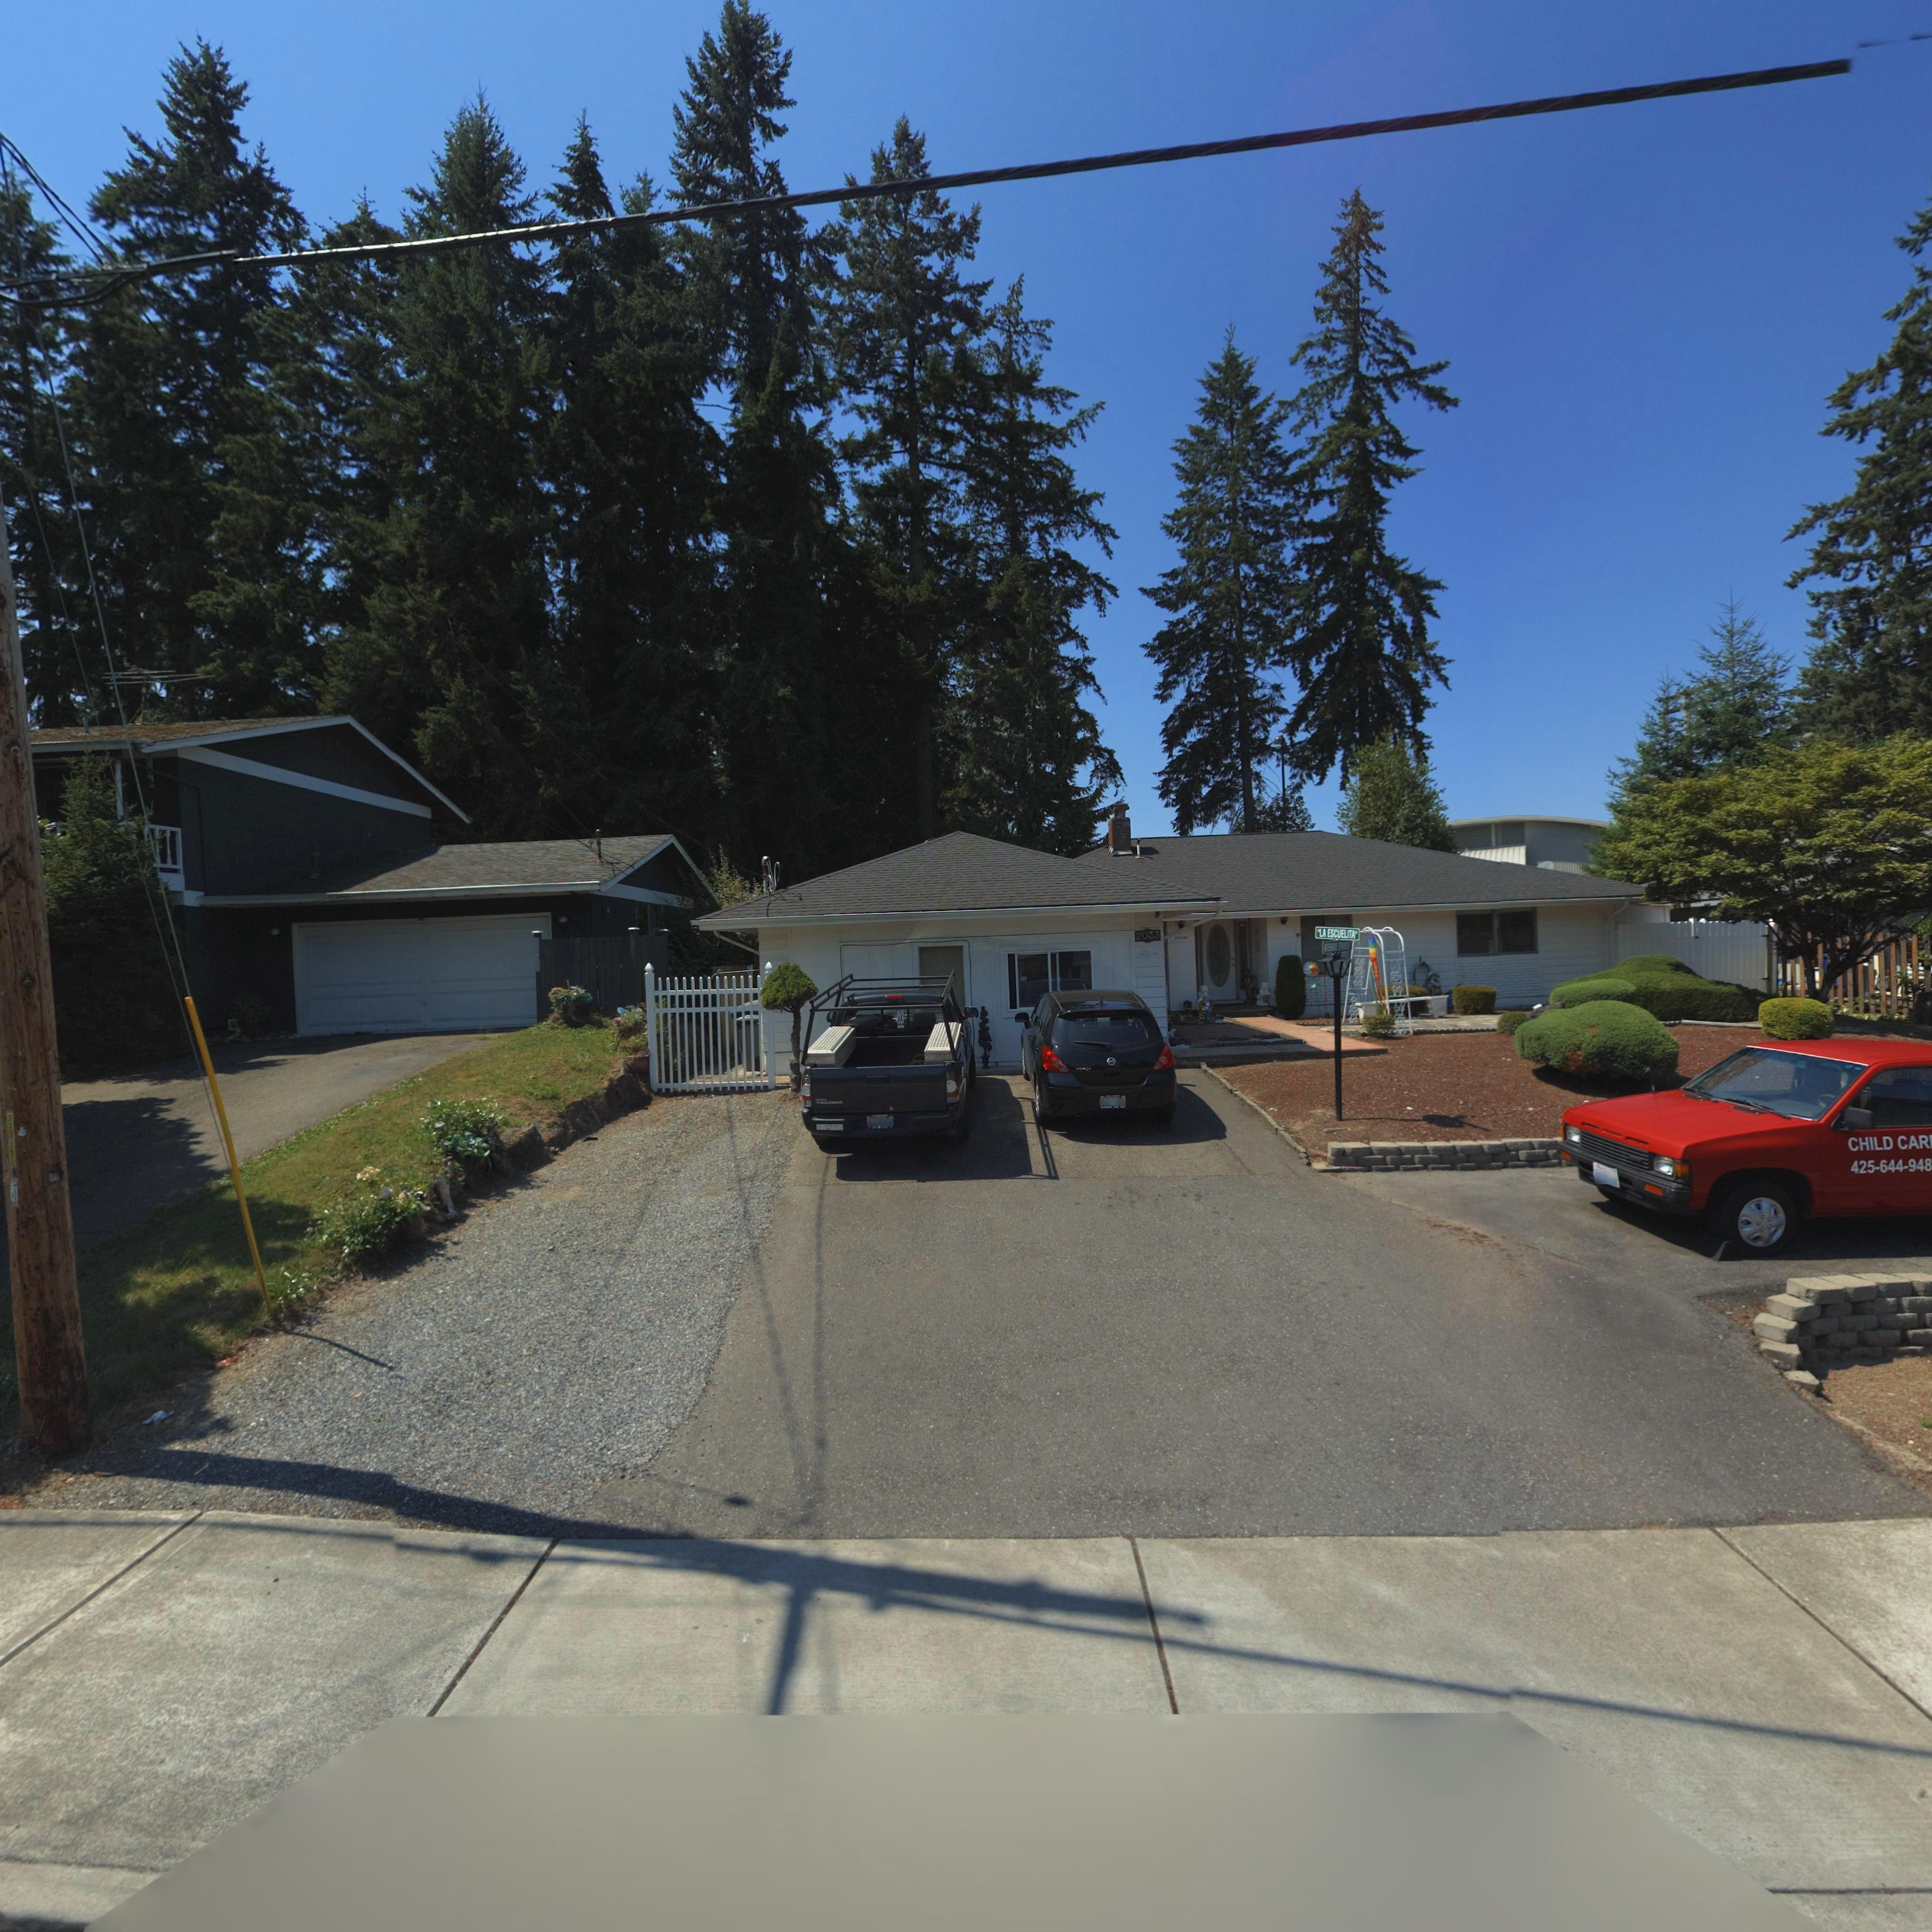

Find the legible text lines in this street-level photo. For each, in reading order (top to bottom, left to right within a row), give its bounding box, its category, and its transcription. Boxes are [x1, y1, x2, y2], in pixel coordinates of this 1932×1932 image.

[1135, 929, 1160, 941] StreetNumber: 2033
[1318, 928, 1356, 938] BusinessName: LA ESCUELITA